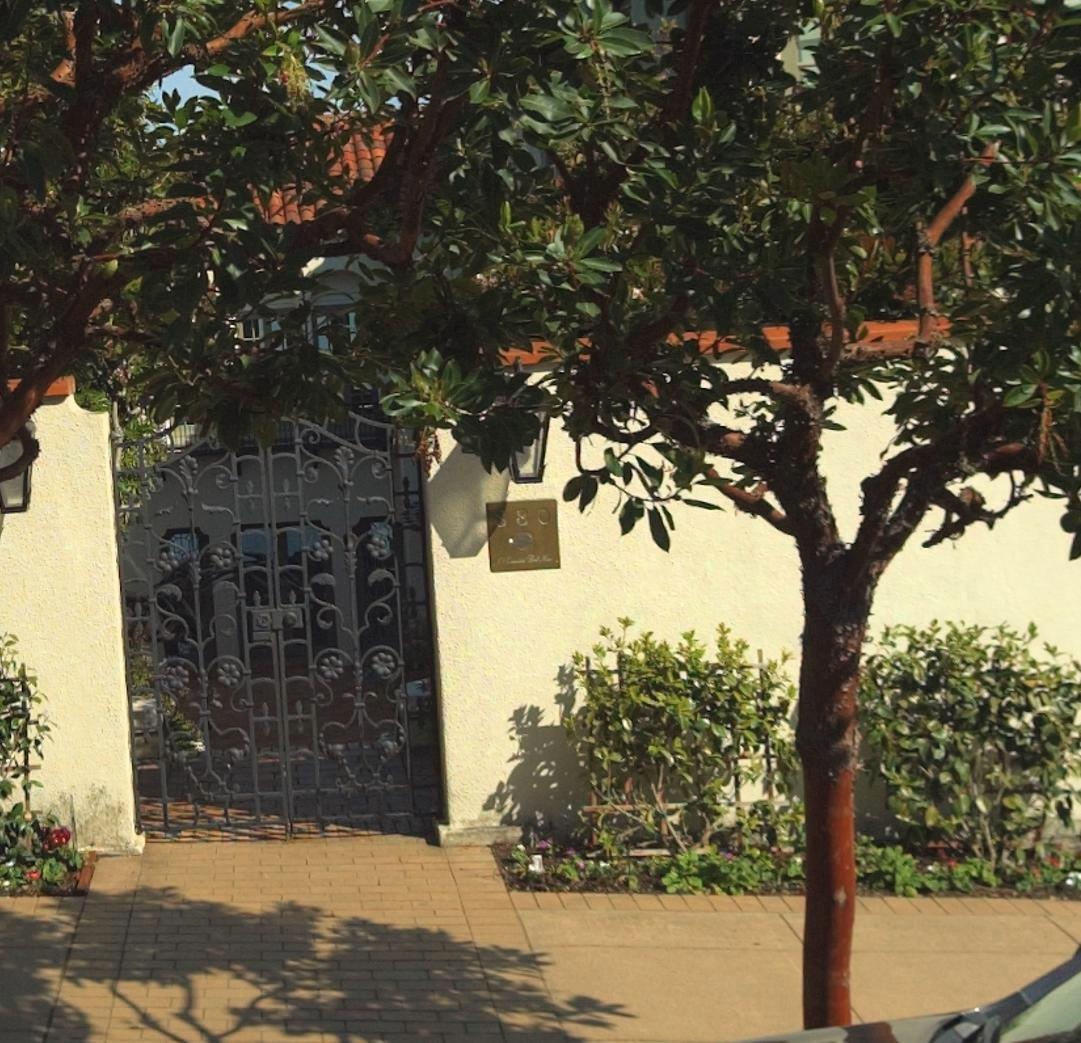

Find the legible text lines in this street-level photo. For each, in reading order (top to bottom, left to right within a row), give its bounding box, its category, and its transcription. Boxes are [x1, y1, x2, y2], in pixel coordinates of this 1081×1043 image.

[492, 506, 551, 528] StreetNumber: 880